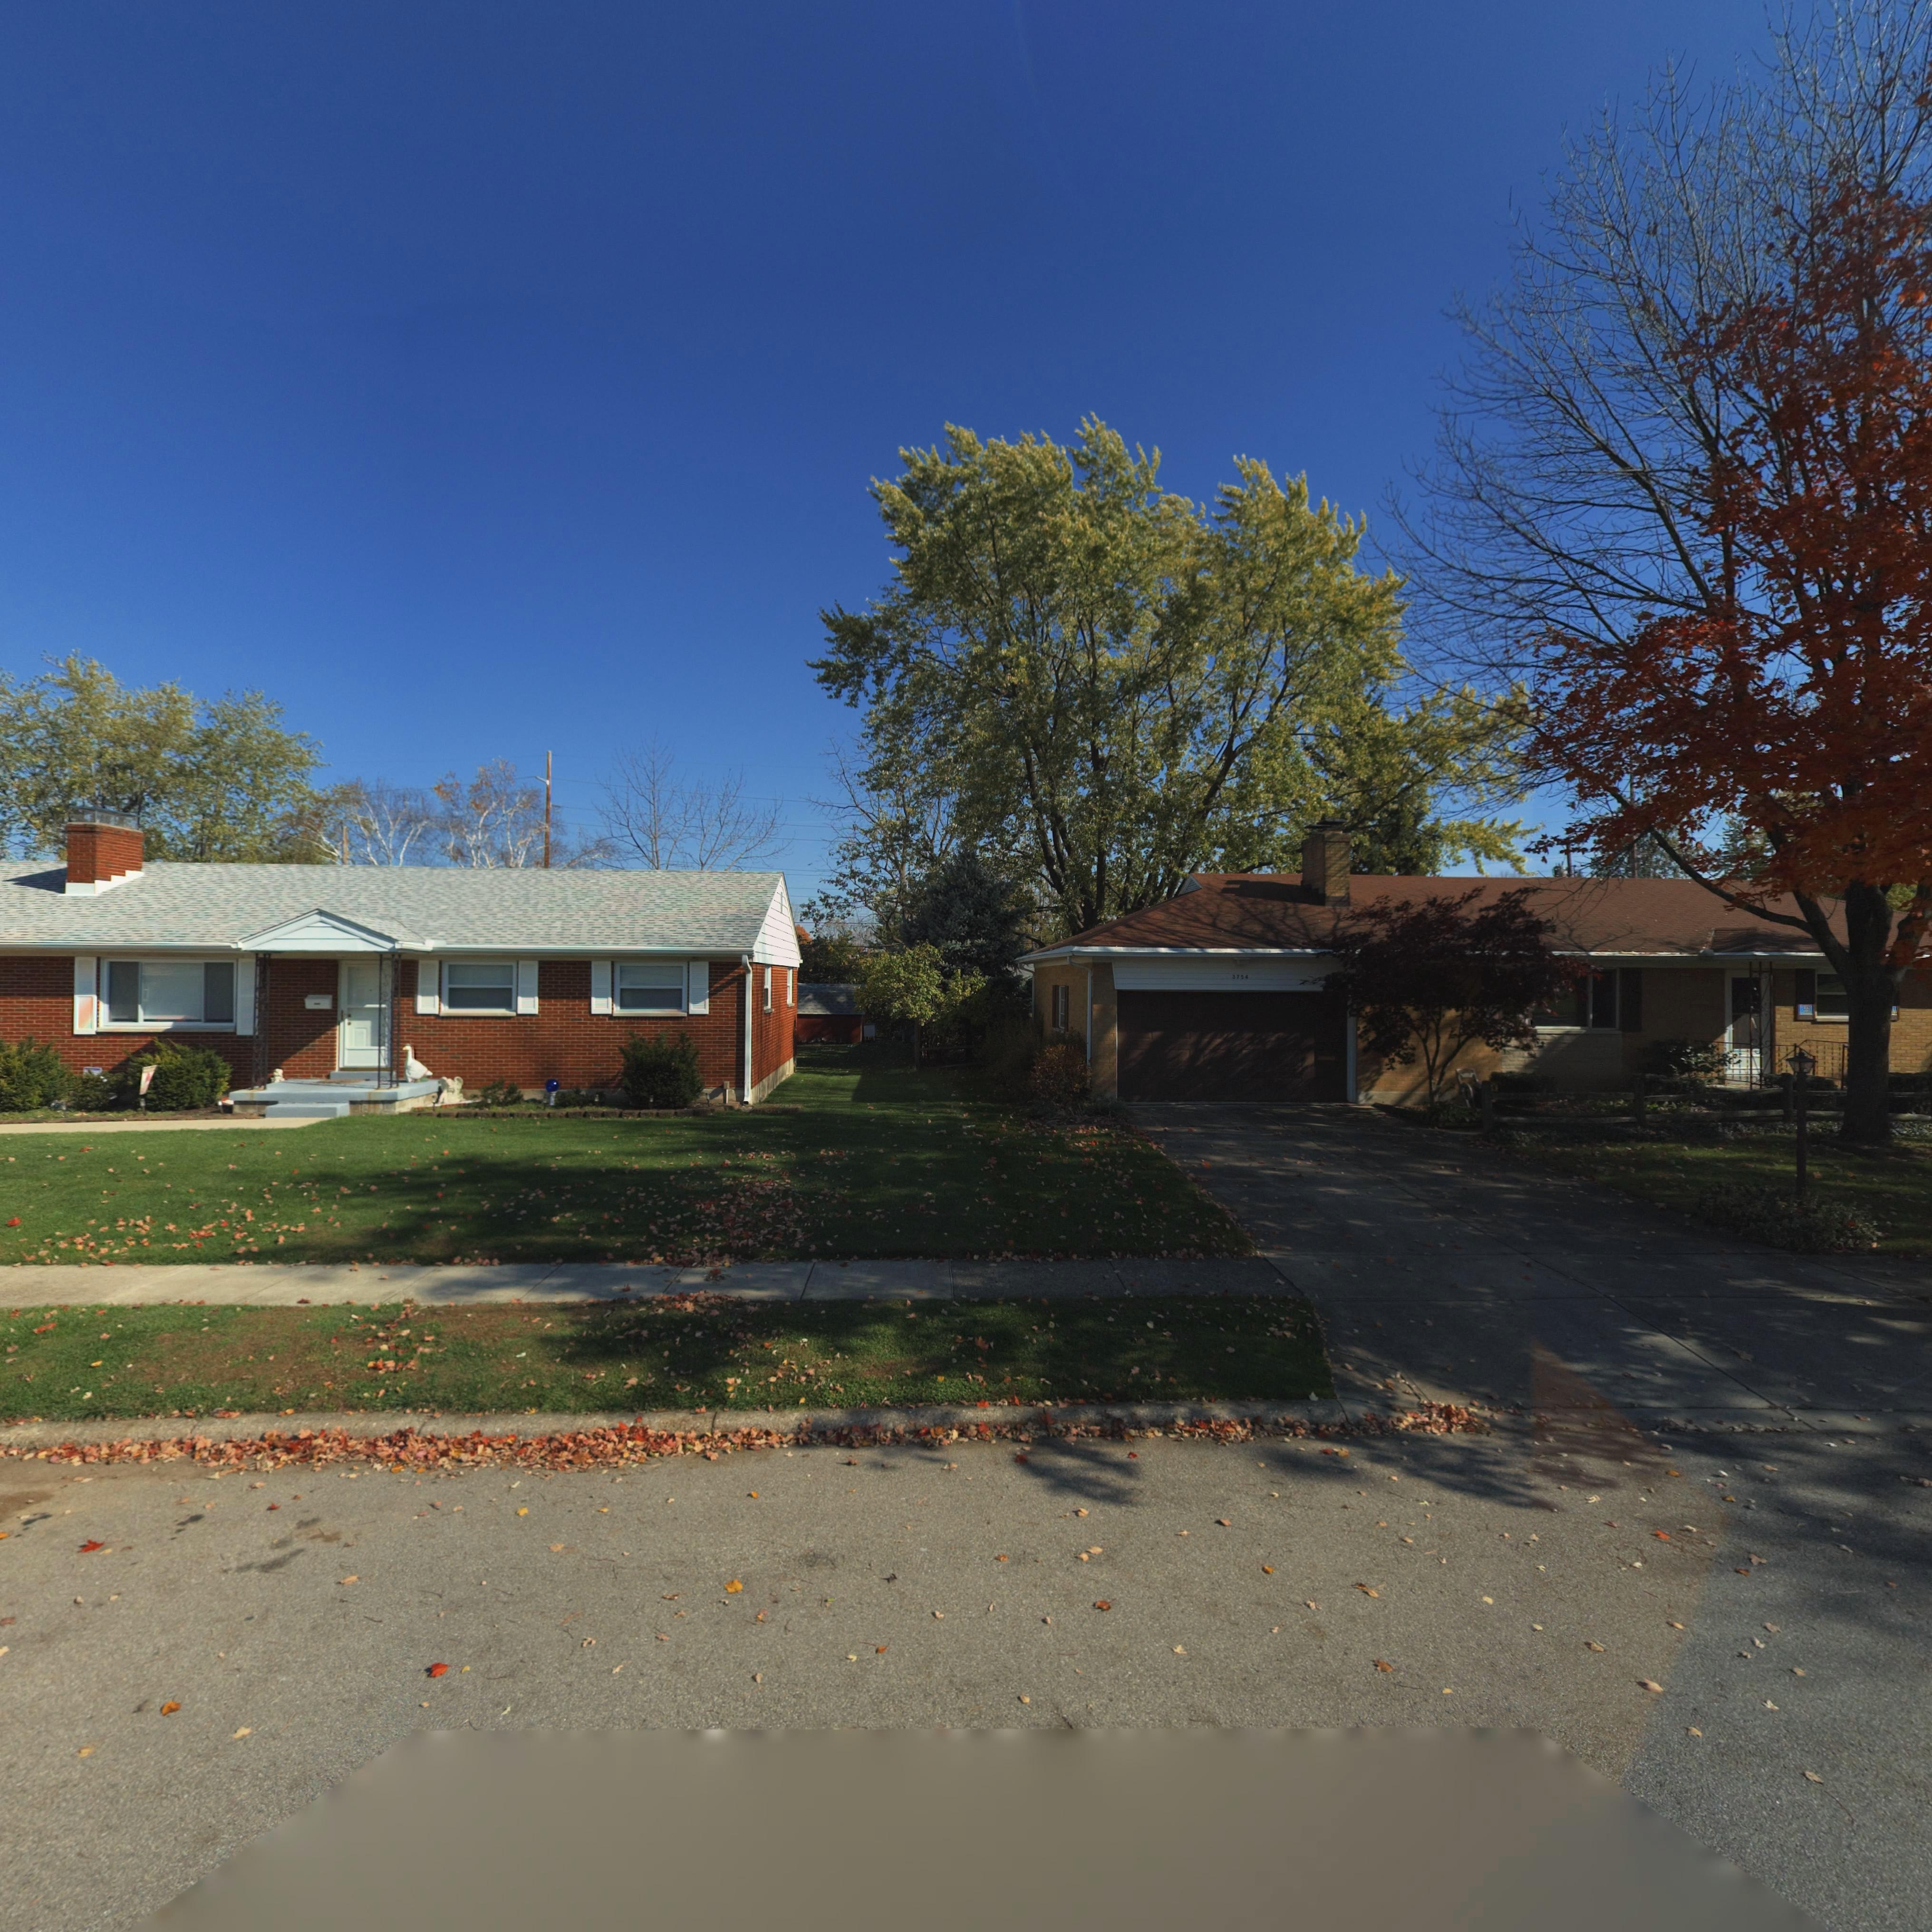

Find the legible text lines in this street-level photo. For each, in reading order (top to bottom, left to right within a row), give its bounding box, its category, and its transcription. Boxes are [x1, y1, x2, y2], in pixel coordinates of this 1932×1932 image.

[1231, 974, 1249, 980] StreetNumber: *754